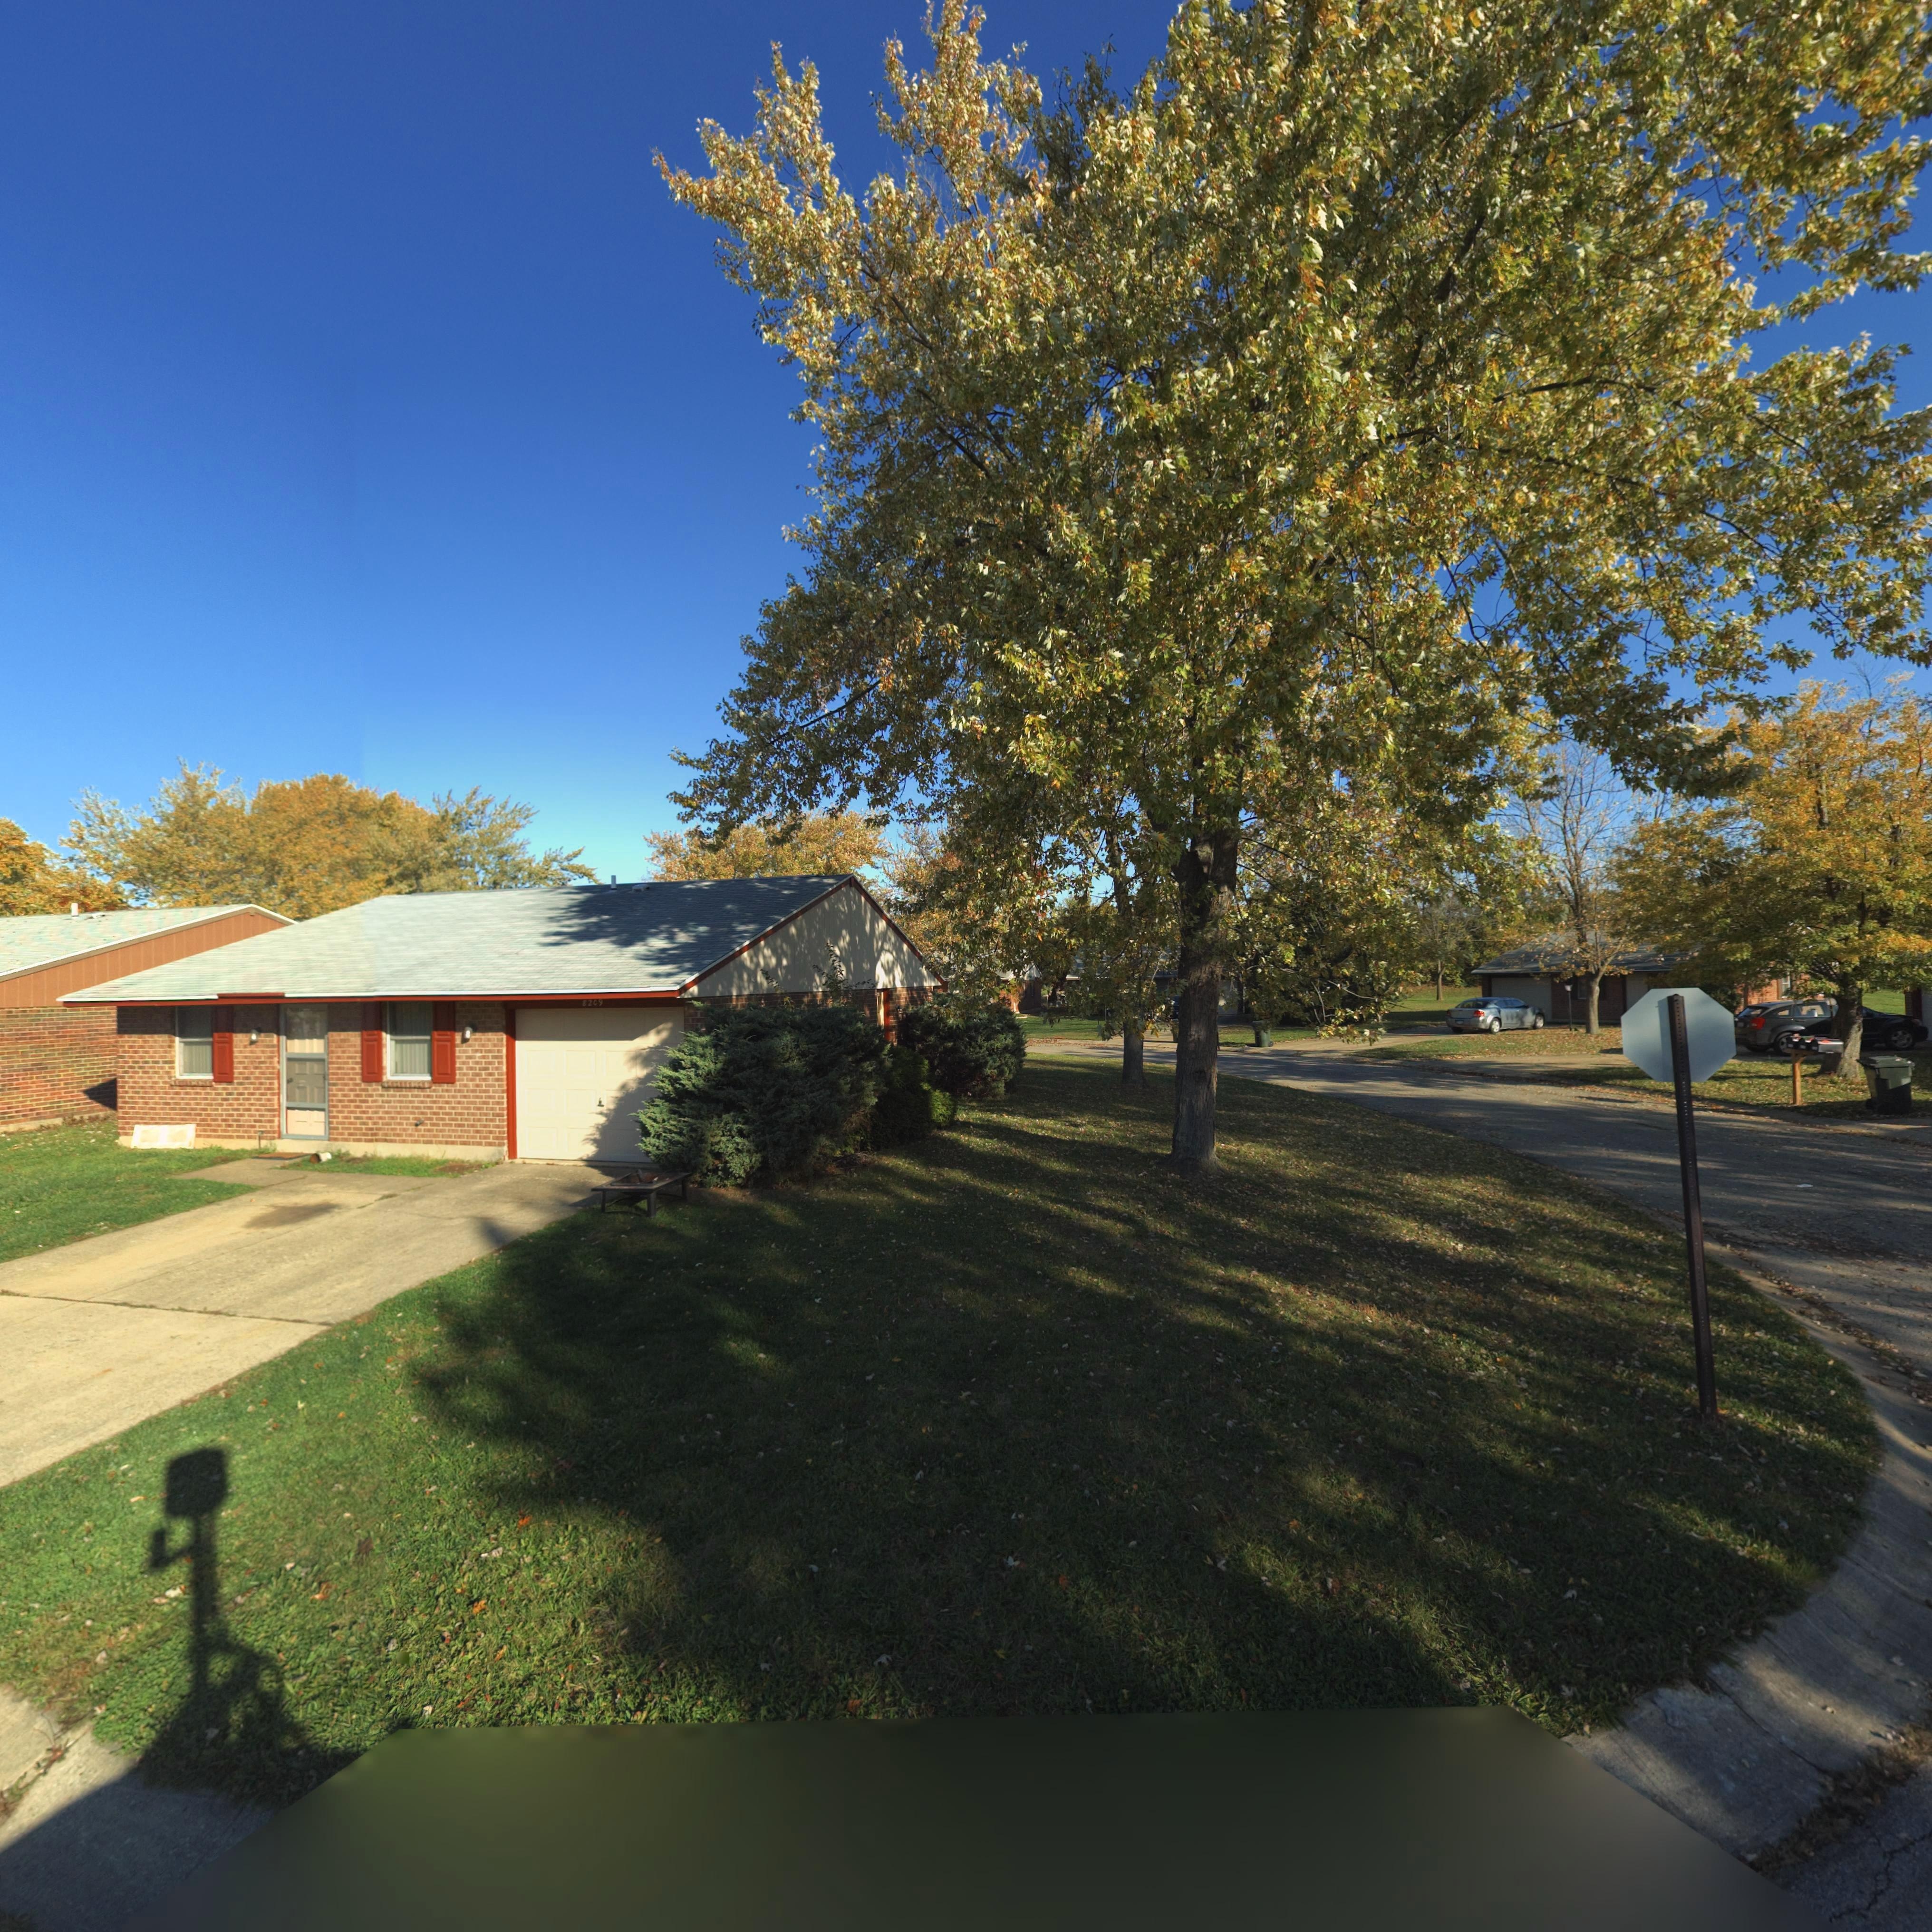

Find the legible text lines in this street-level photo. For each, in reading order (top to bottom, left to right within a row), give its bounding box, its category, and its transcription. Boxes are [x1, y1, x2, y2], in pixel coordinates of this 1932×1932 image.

[582, 998, 604, 1007] StreetNumber: 8209